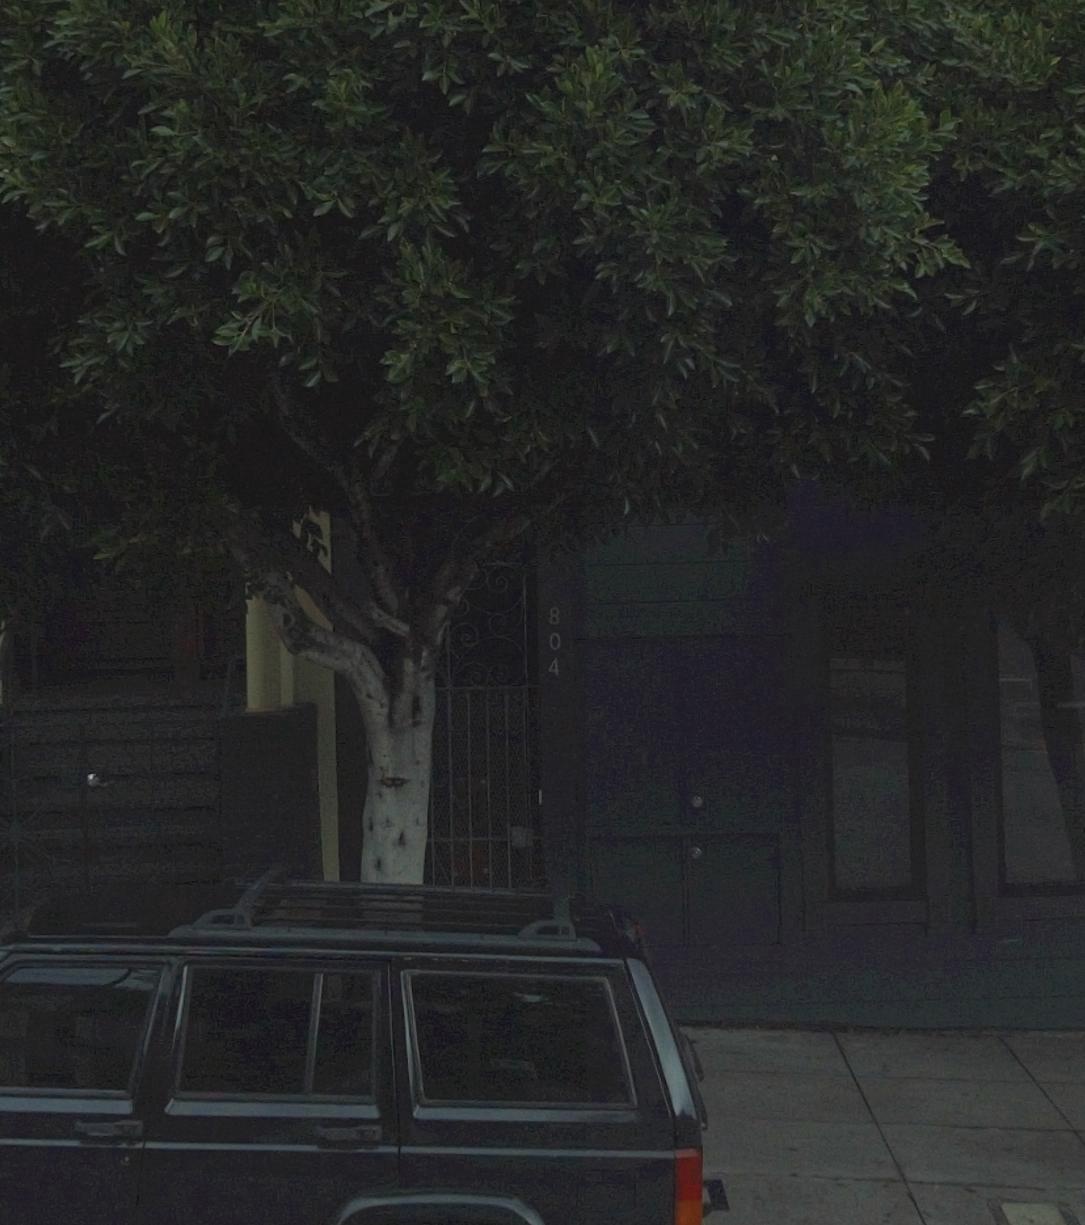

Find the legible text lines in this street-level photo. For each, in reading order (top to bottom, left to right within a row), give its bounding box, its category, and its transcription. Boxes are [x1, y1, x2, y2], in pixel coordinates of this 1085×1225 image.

[546, 605, 563, 678] StreetNumber: 804